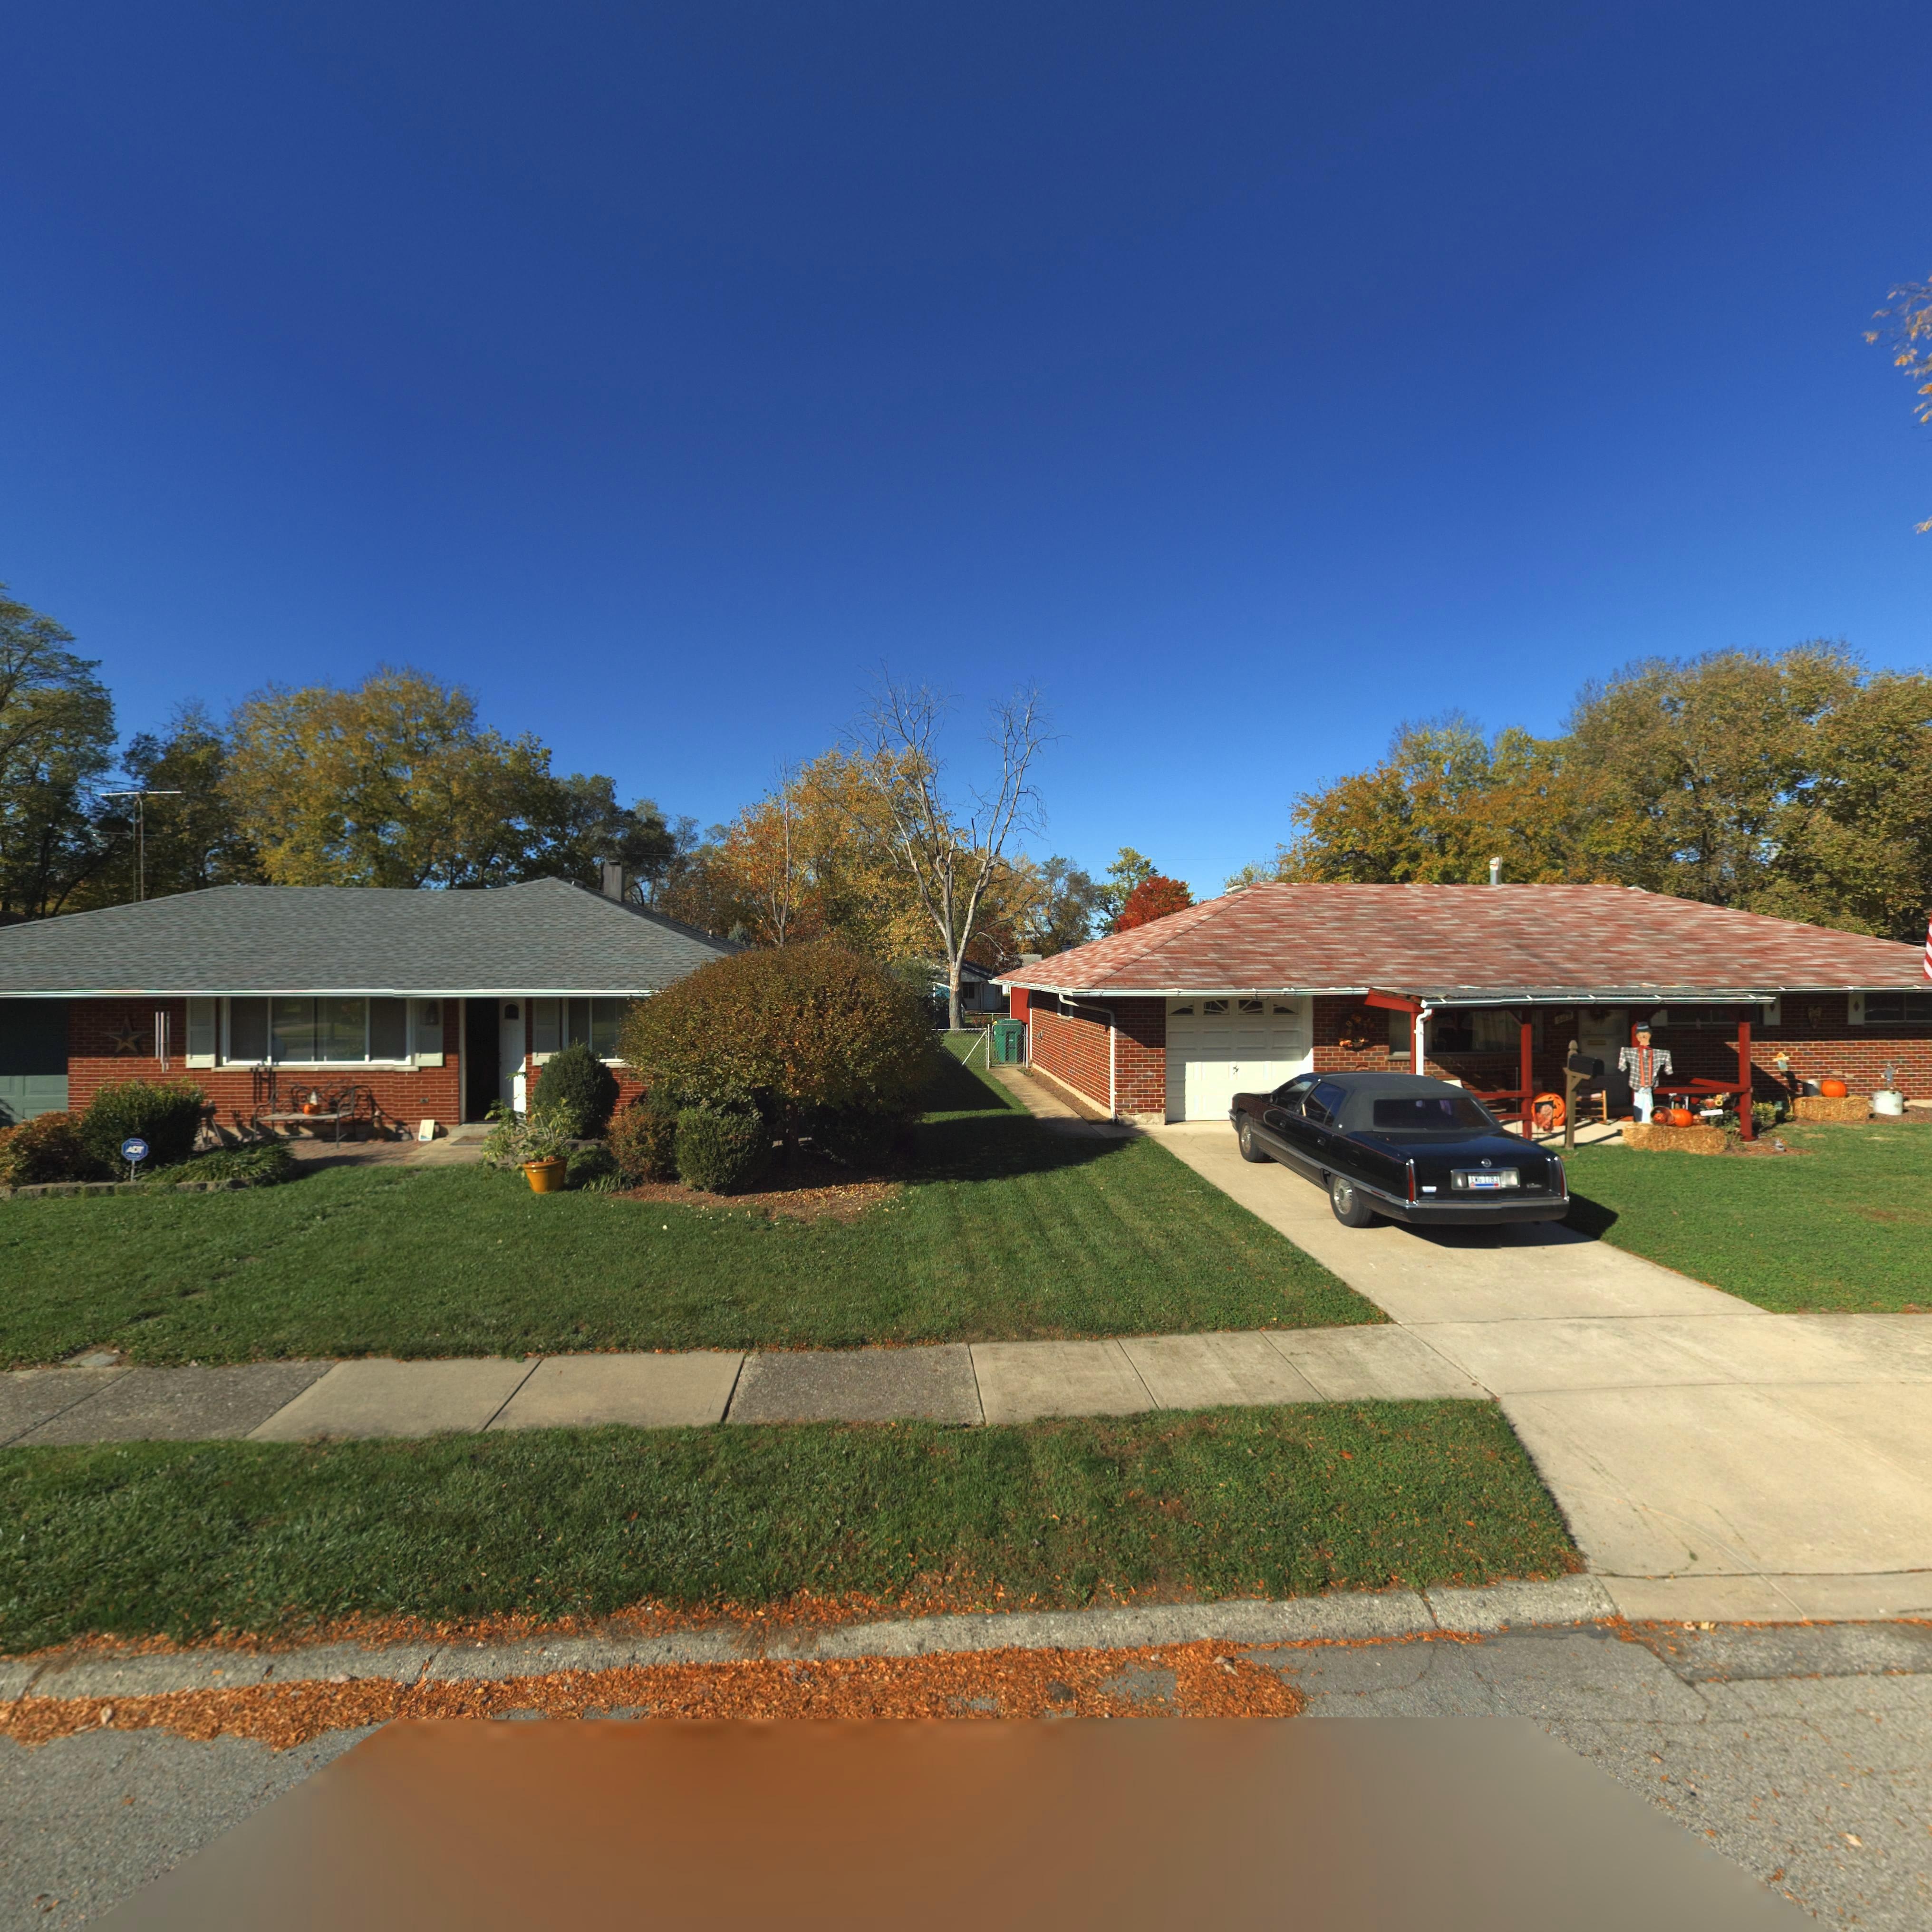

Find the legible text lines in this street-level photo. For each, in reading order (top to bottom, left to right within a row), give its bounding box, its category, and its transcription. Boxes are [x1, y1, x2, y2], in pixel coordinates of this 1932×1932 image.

[1555, 1011, 1573, 1024] StreetNumber: 5119